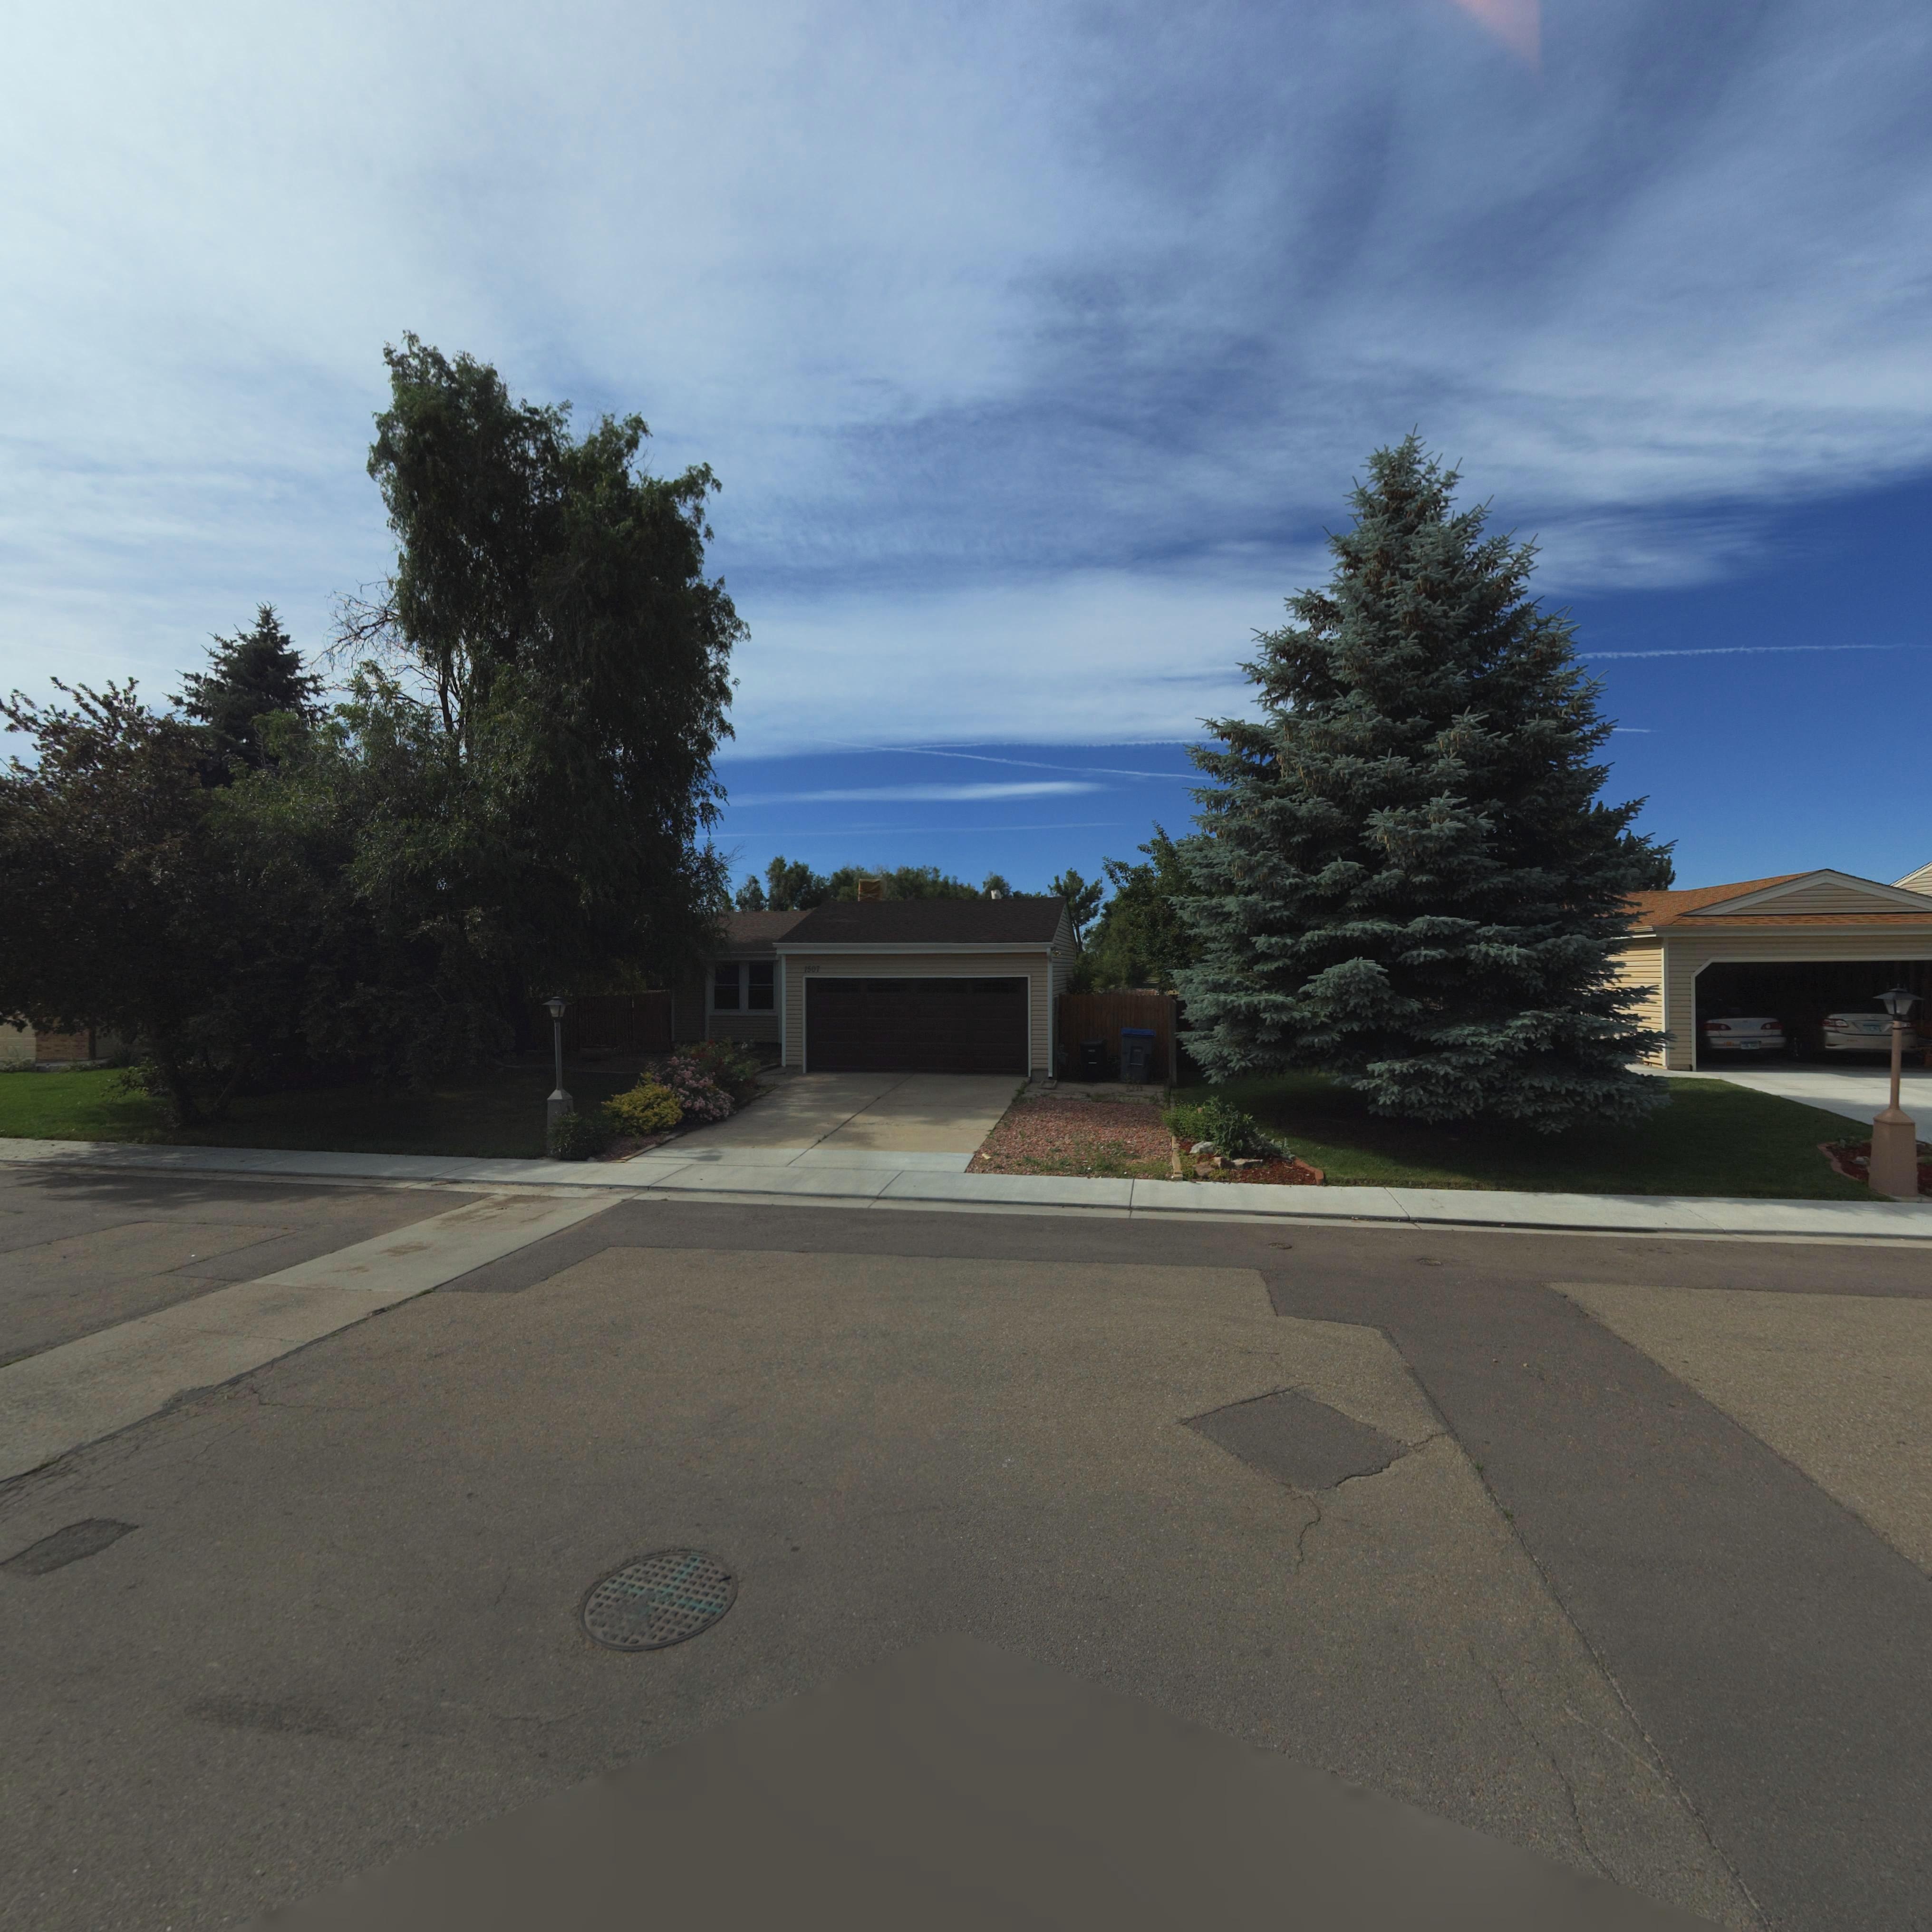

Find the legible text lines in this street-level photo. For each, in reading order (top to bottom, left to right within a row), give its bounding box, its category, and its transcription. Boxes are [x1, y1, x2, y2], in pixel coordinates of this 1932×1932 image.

[804, 965, 820, 972] StreetNumber: 1507